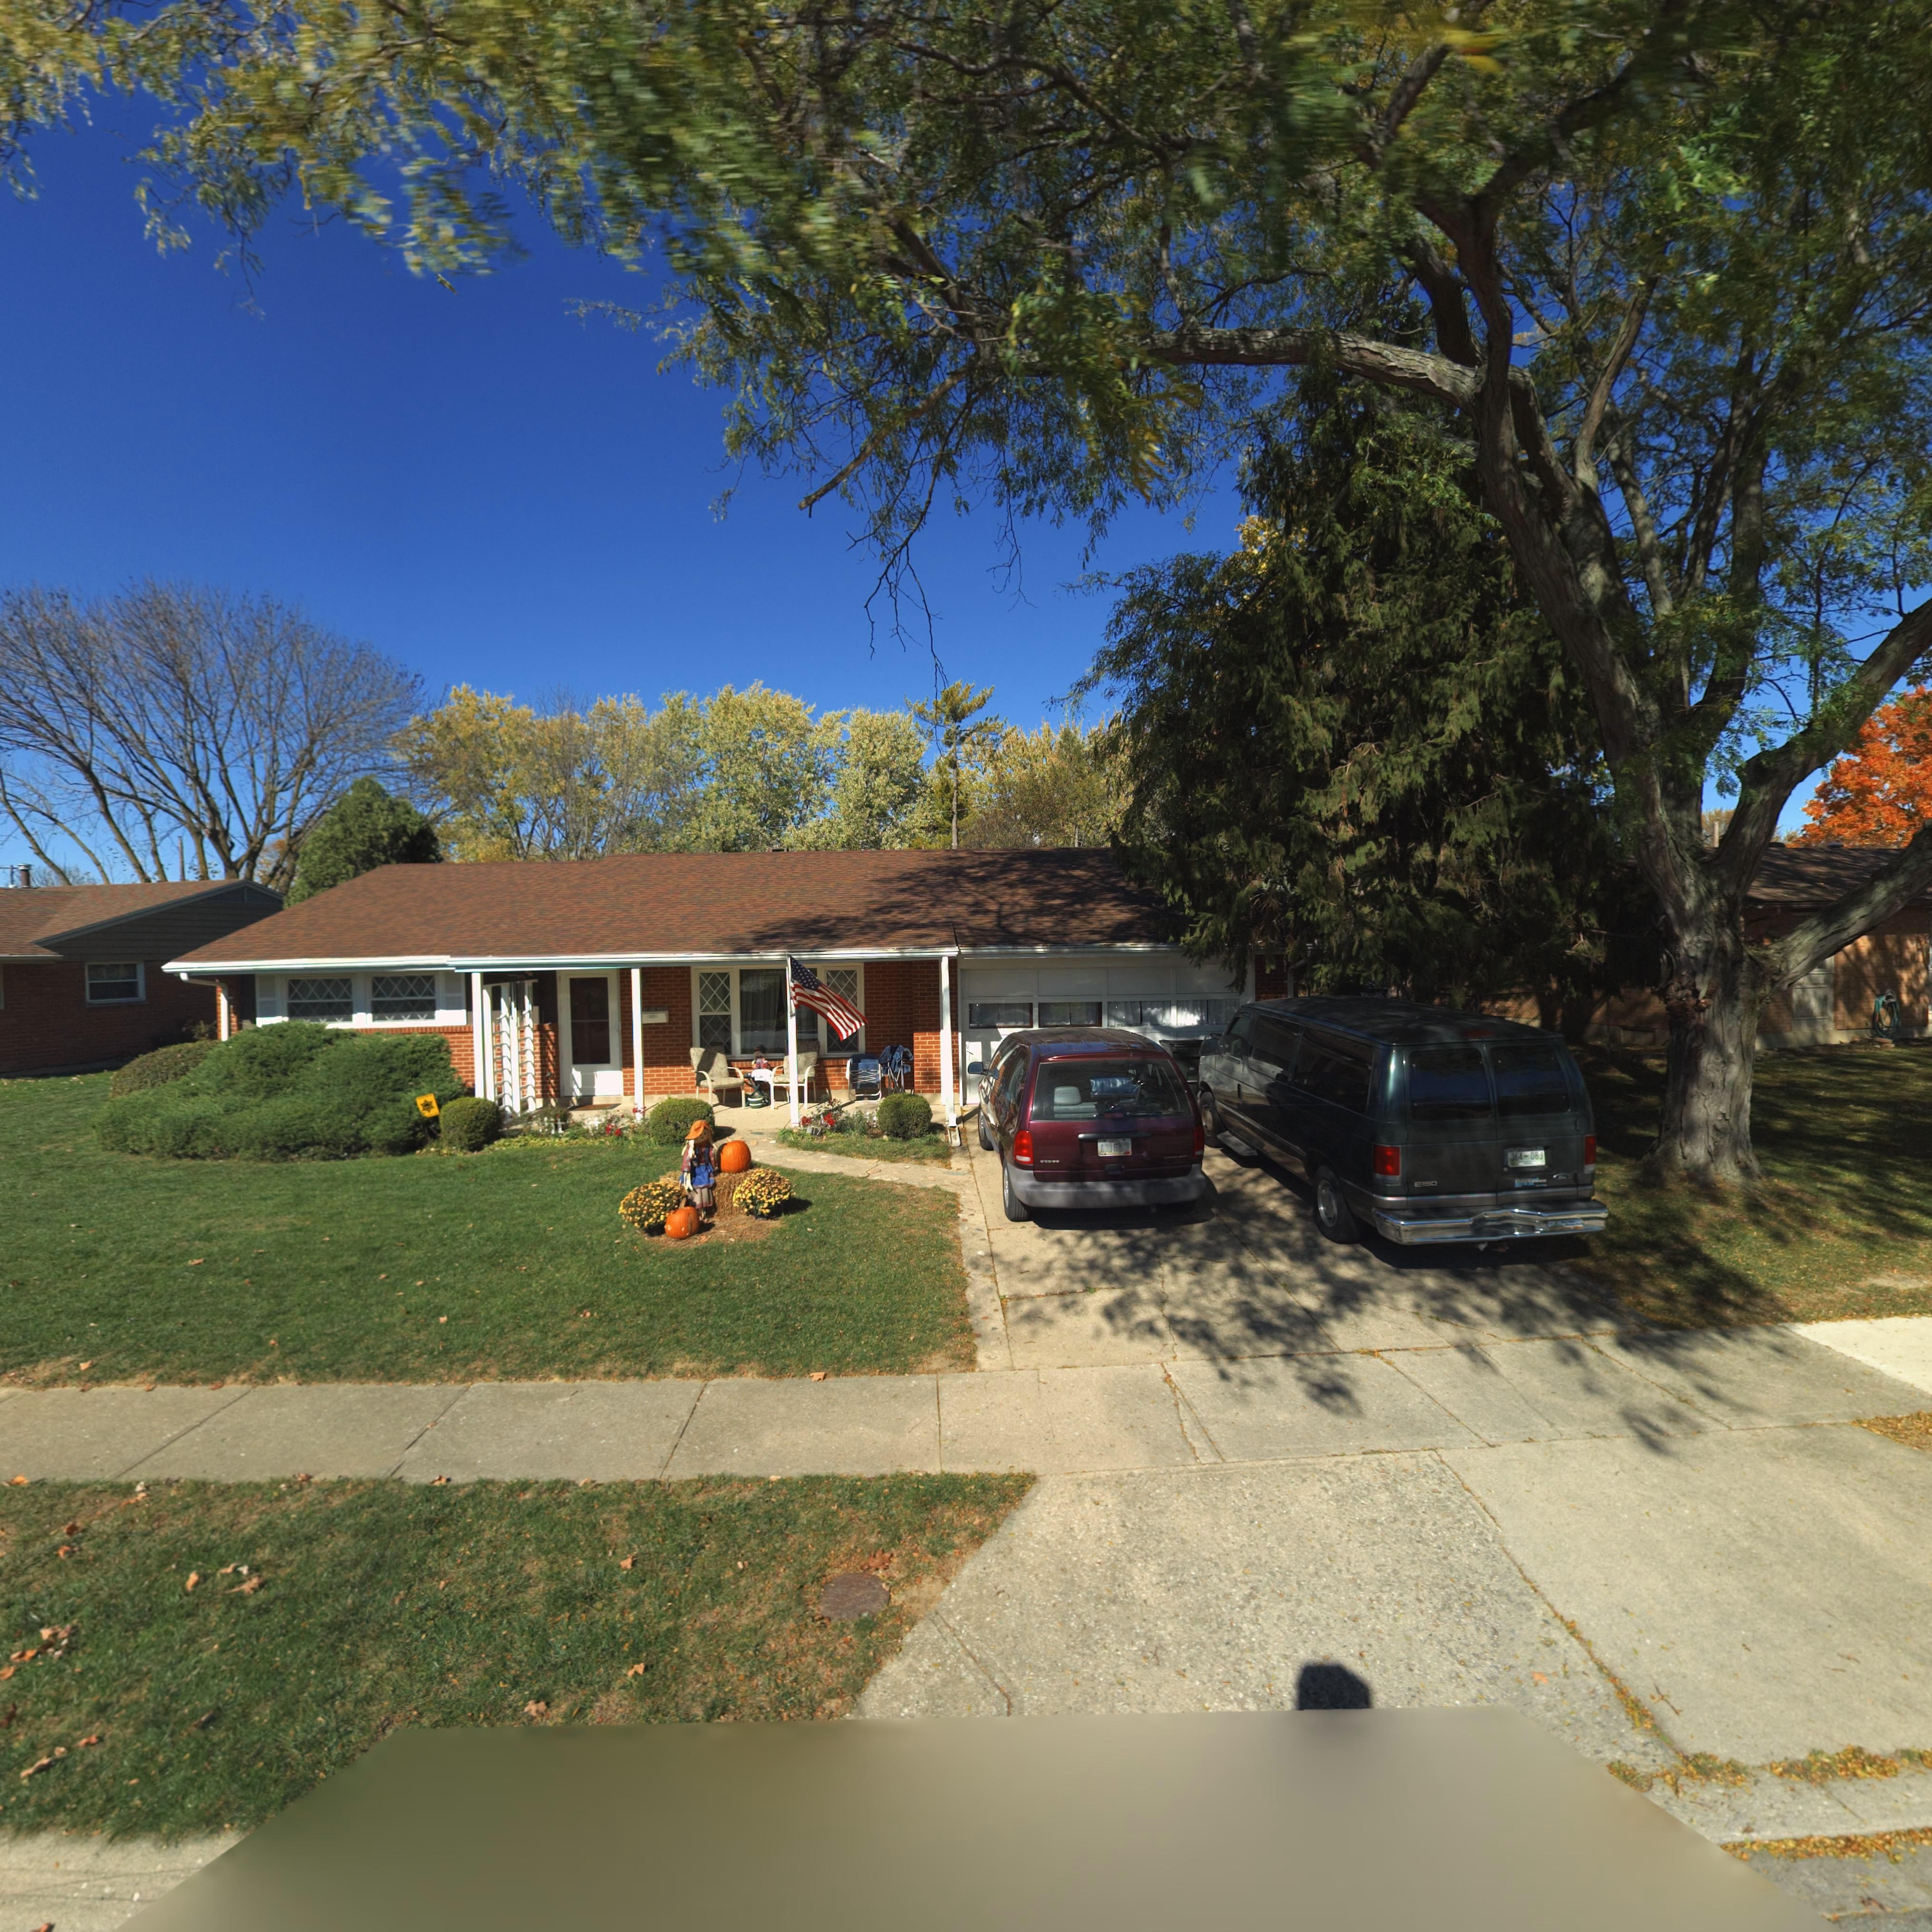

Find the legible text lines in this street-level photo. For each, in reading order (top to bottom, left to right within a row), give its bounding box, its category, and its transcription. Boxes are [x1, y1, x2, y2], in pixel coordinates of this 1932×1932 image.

[806, 1126, 822, 1137] StreetNumber: *17
[1113, 1142, 1118, 1152] None: 6
[1509, 1150, 1544, 1162] None: J64-08J
[1413, 1180, 1438, 1188] None: E150